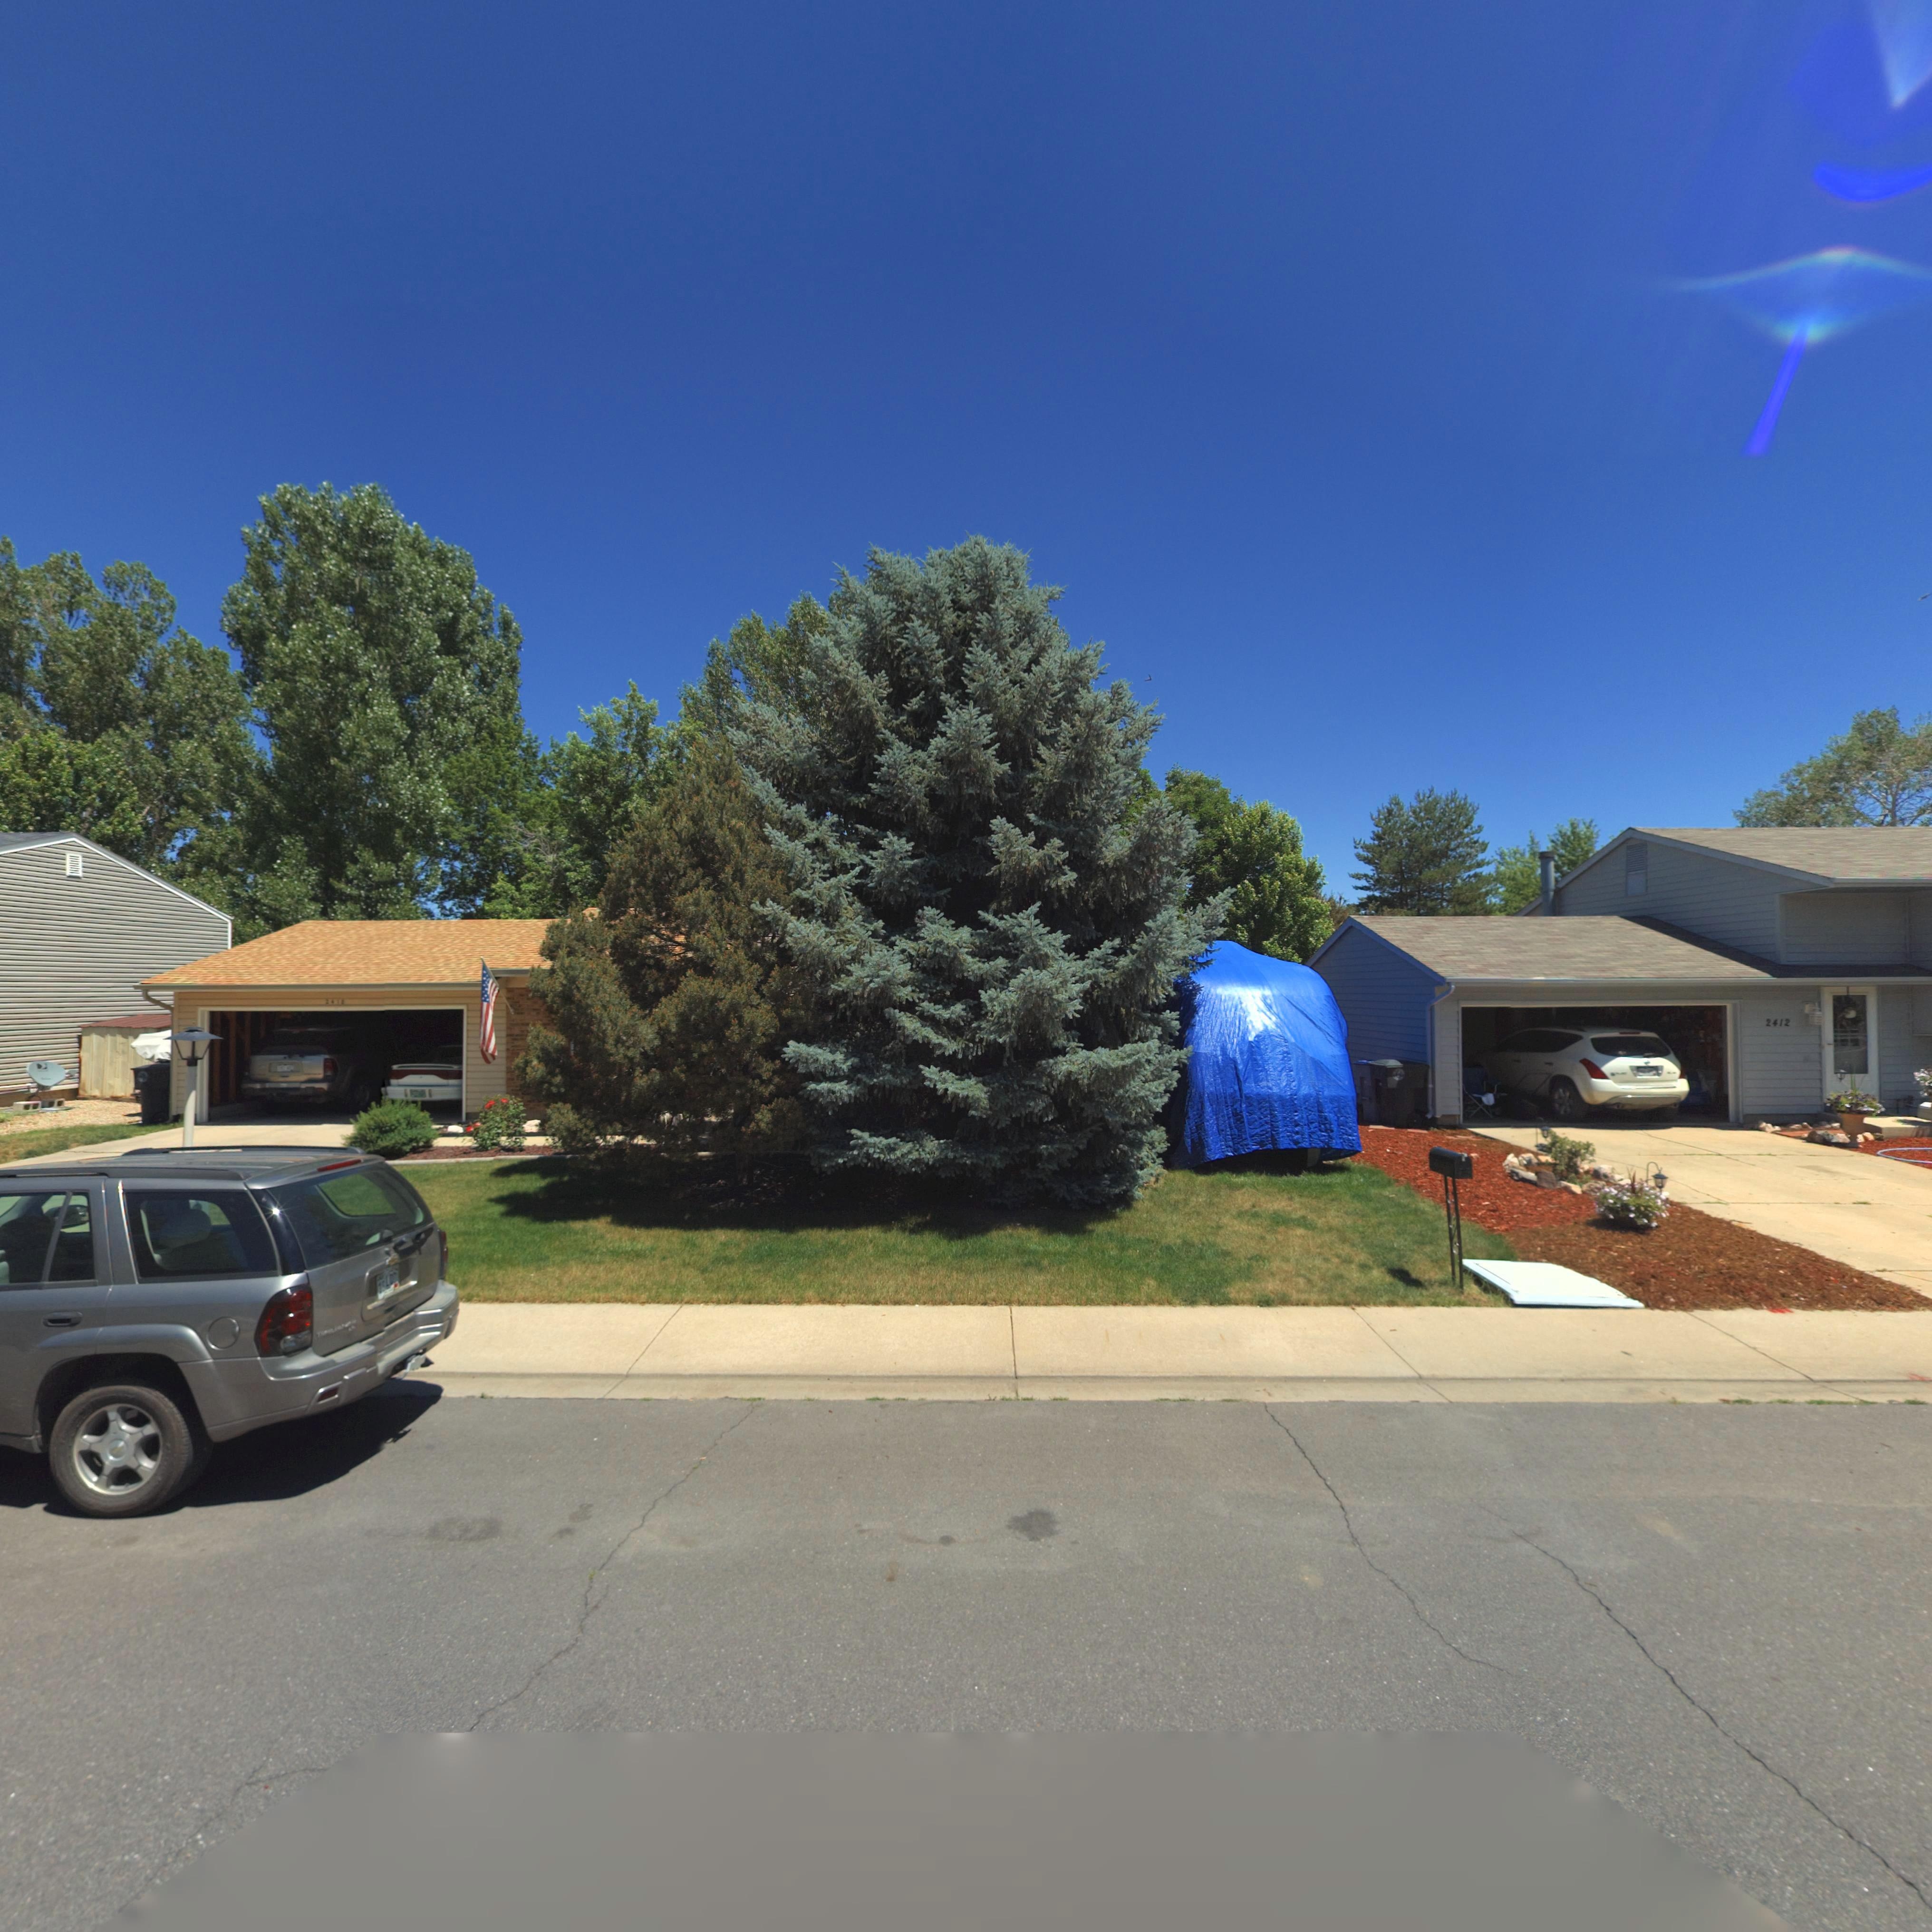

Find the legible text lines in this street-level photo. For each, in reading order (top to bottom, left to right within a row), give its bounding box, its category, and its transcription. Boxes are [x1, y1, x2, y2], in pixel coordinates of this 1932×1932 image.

[324, 998, 345, 1005] StreetNumber: 2418
[1766, 1018, 1790, 1026] StreetNumber: 2412